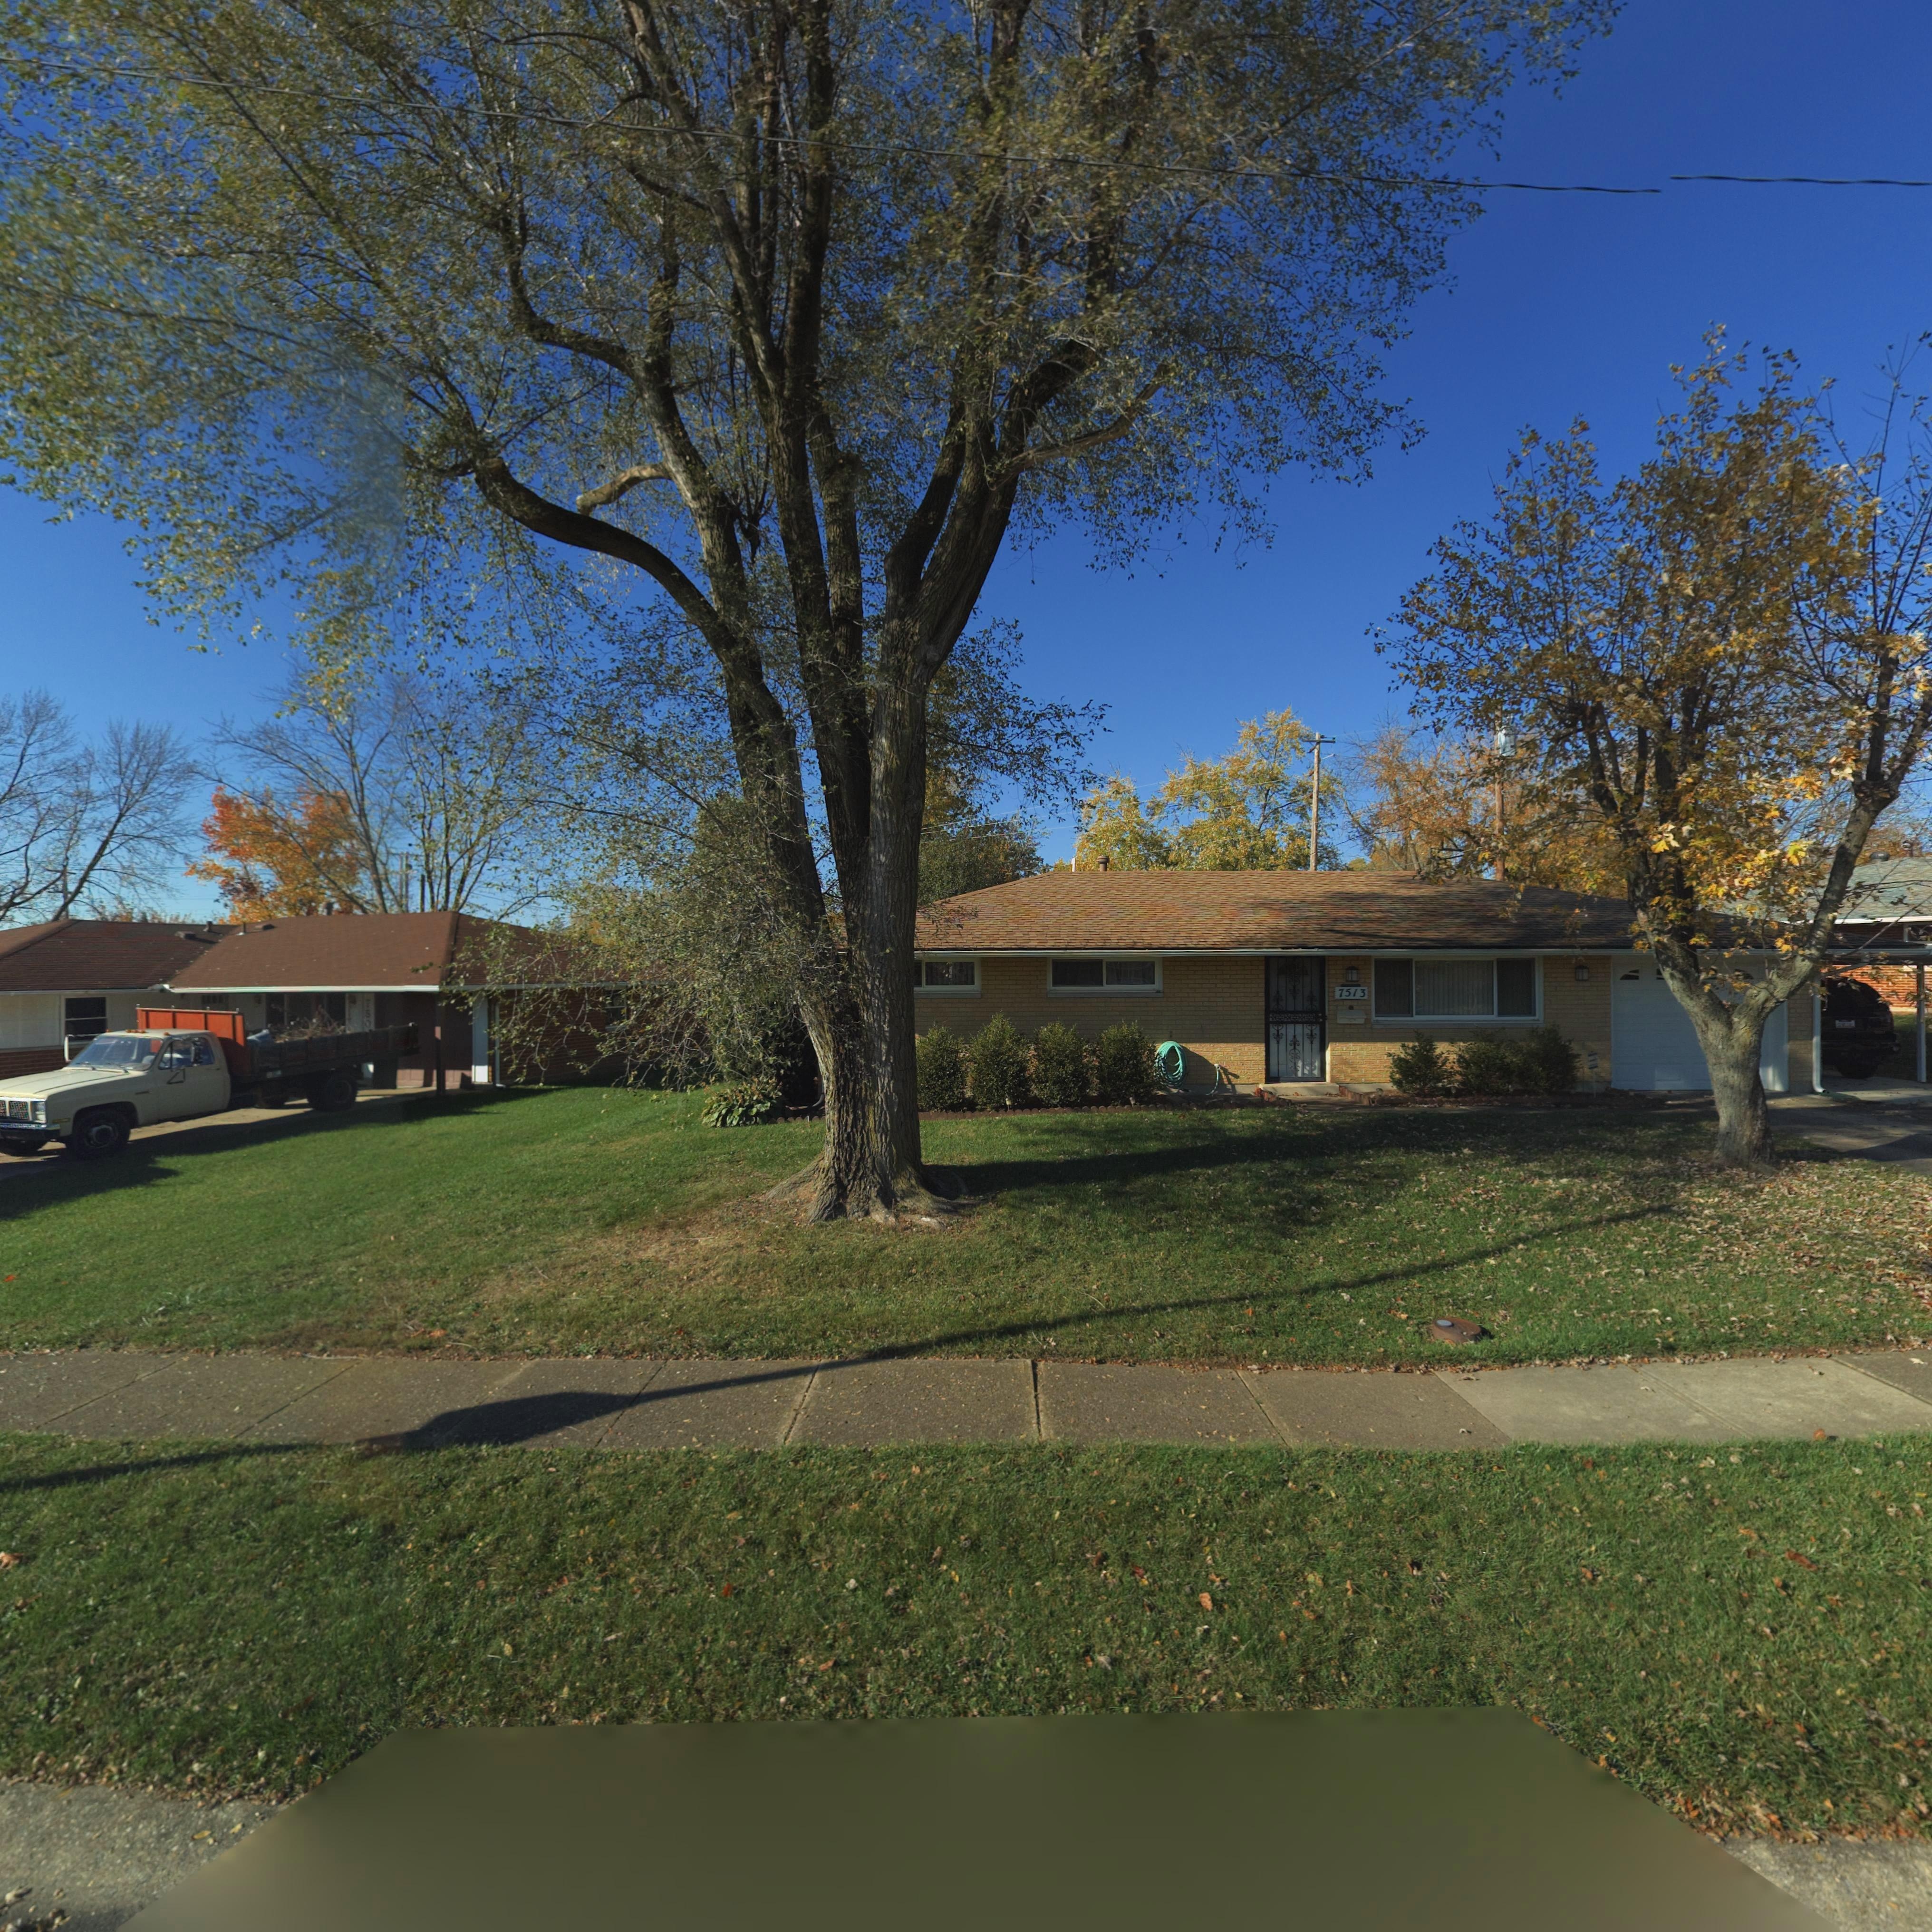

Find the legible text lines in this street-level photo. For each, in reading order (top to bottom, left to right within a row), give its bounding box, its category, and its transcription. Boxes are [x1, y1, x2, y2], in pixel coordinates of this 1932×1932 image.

[1338, 988, 1367, 998] StreetNumber: 7513
[364, 997, 372, 1029] StreetNumber: 750